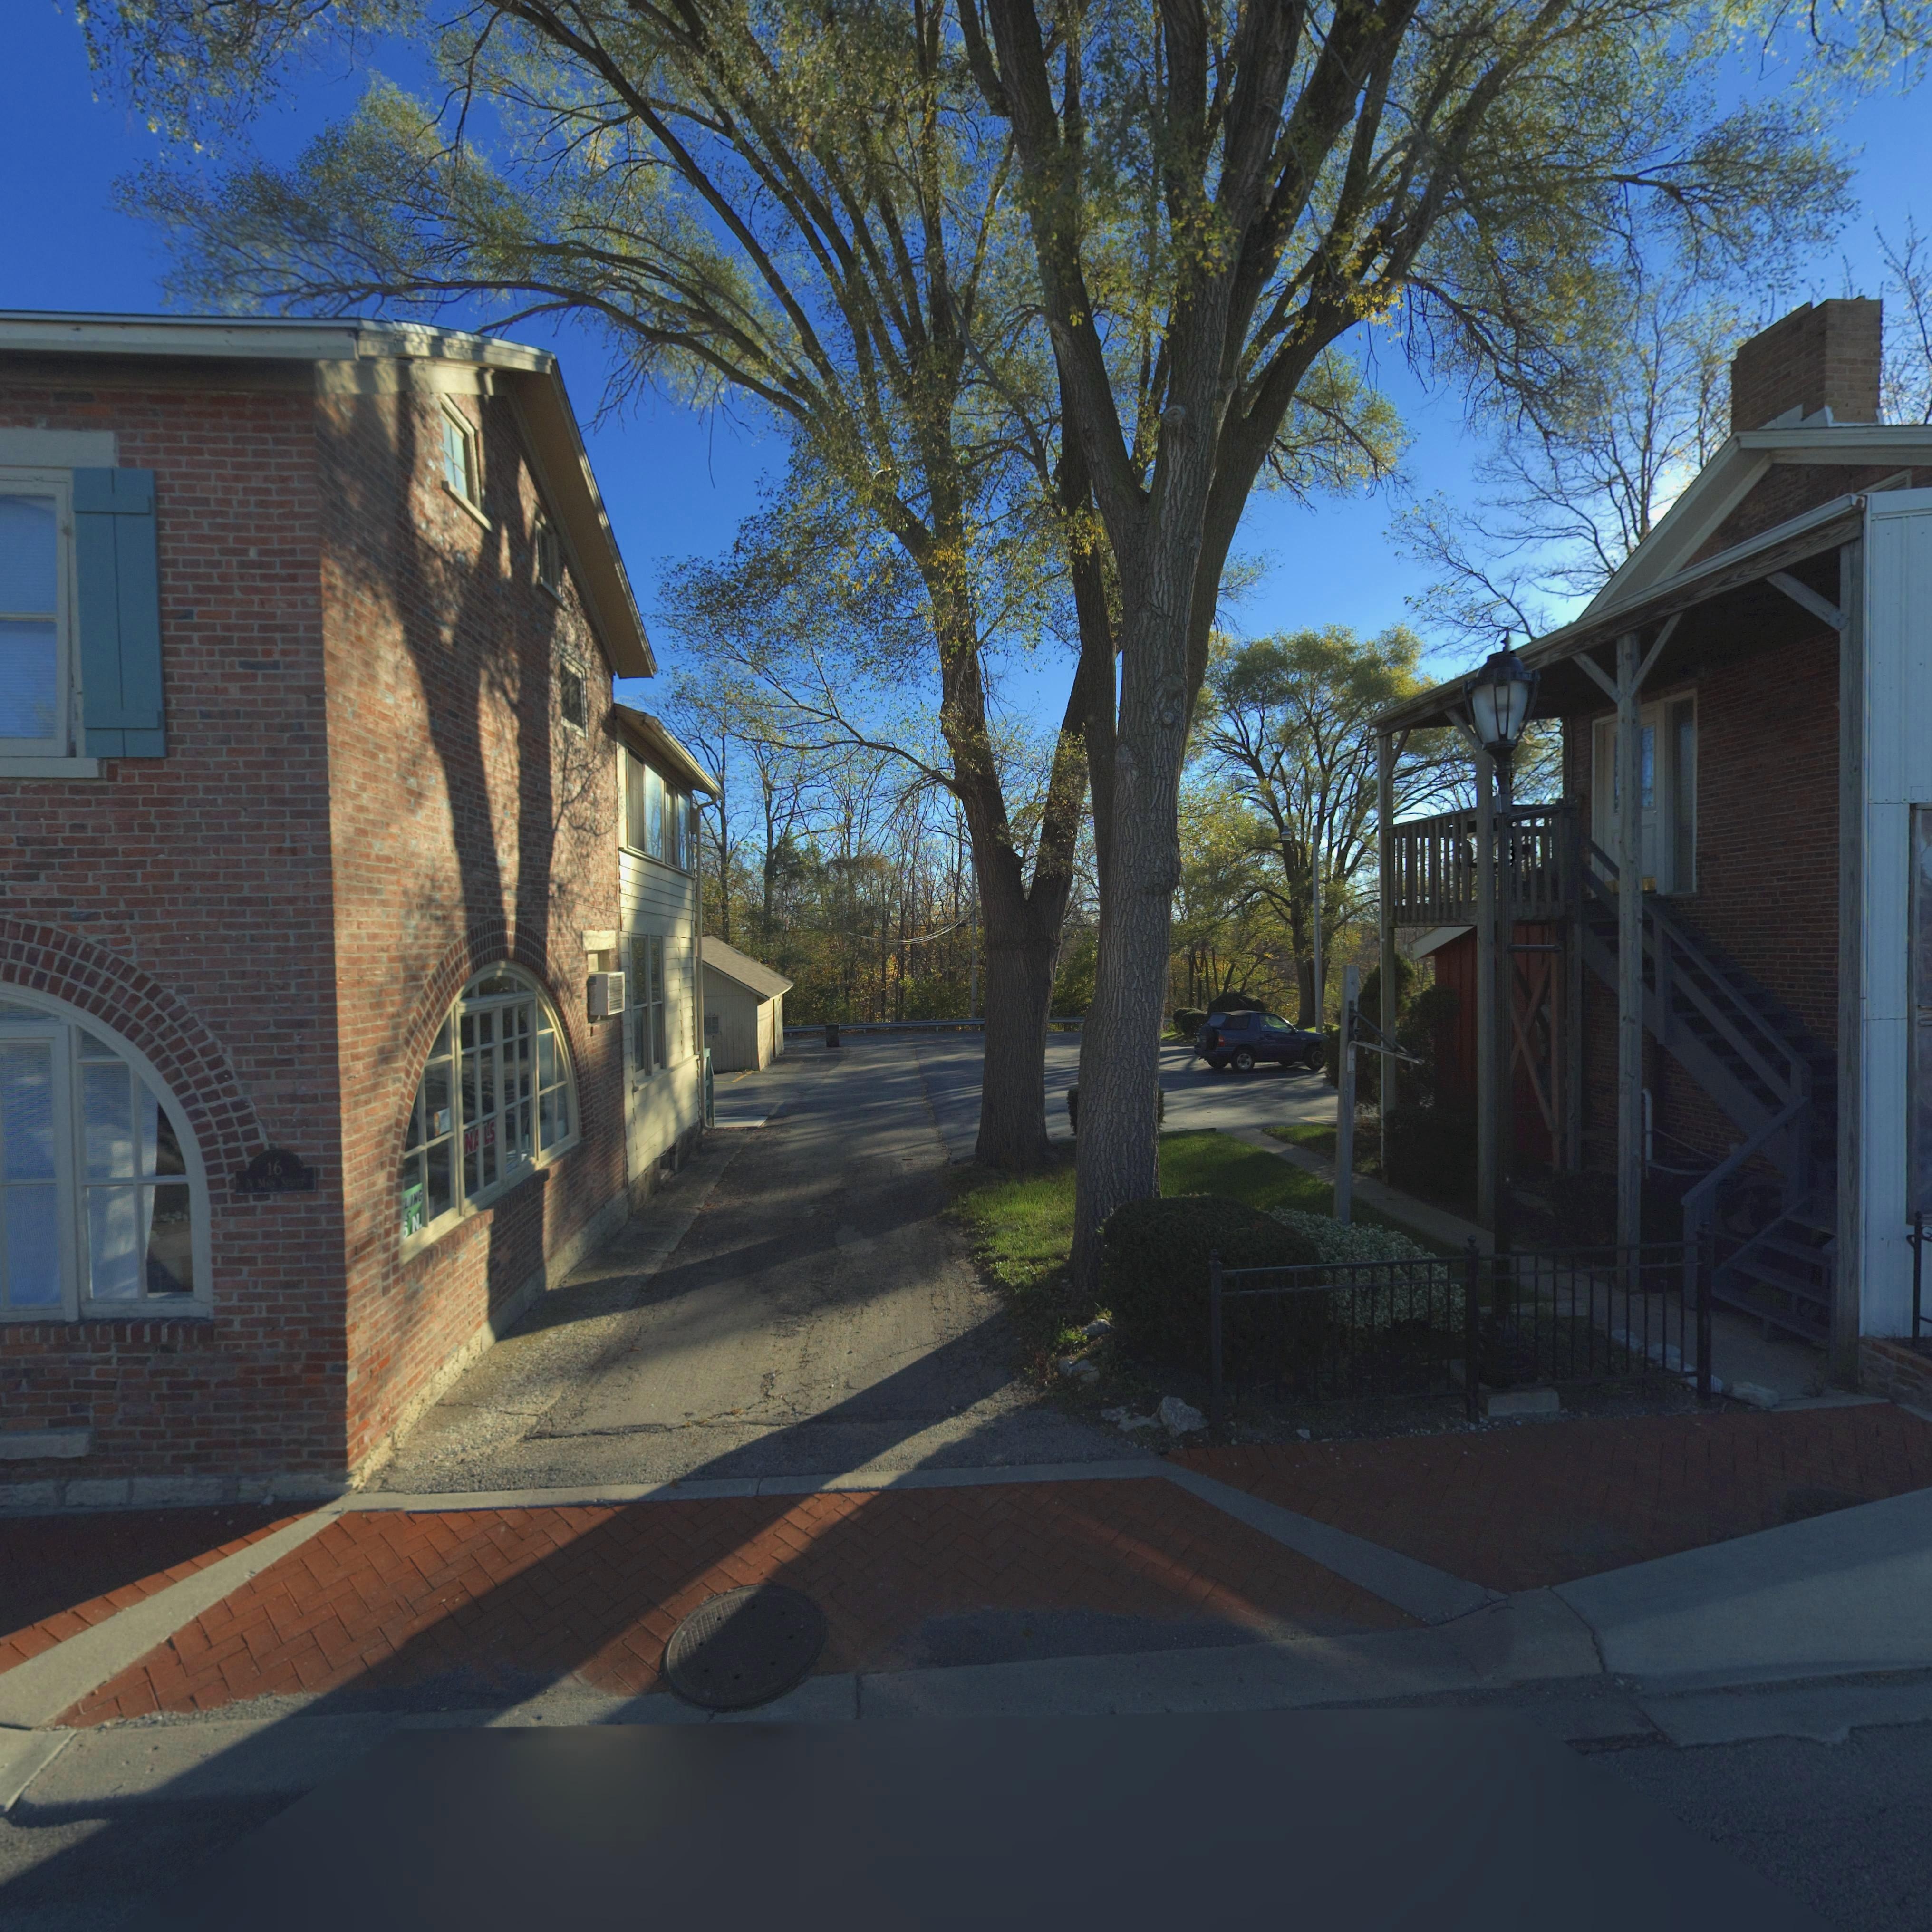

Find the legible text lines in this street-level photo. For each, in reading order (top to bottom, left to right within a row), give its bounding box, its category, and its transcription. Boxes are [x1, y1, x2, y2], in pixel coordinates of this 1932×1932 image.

[267, 1159, 283, 1177] StreetNumber: 16